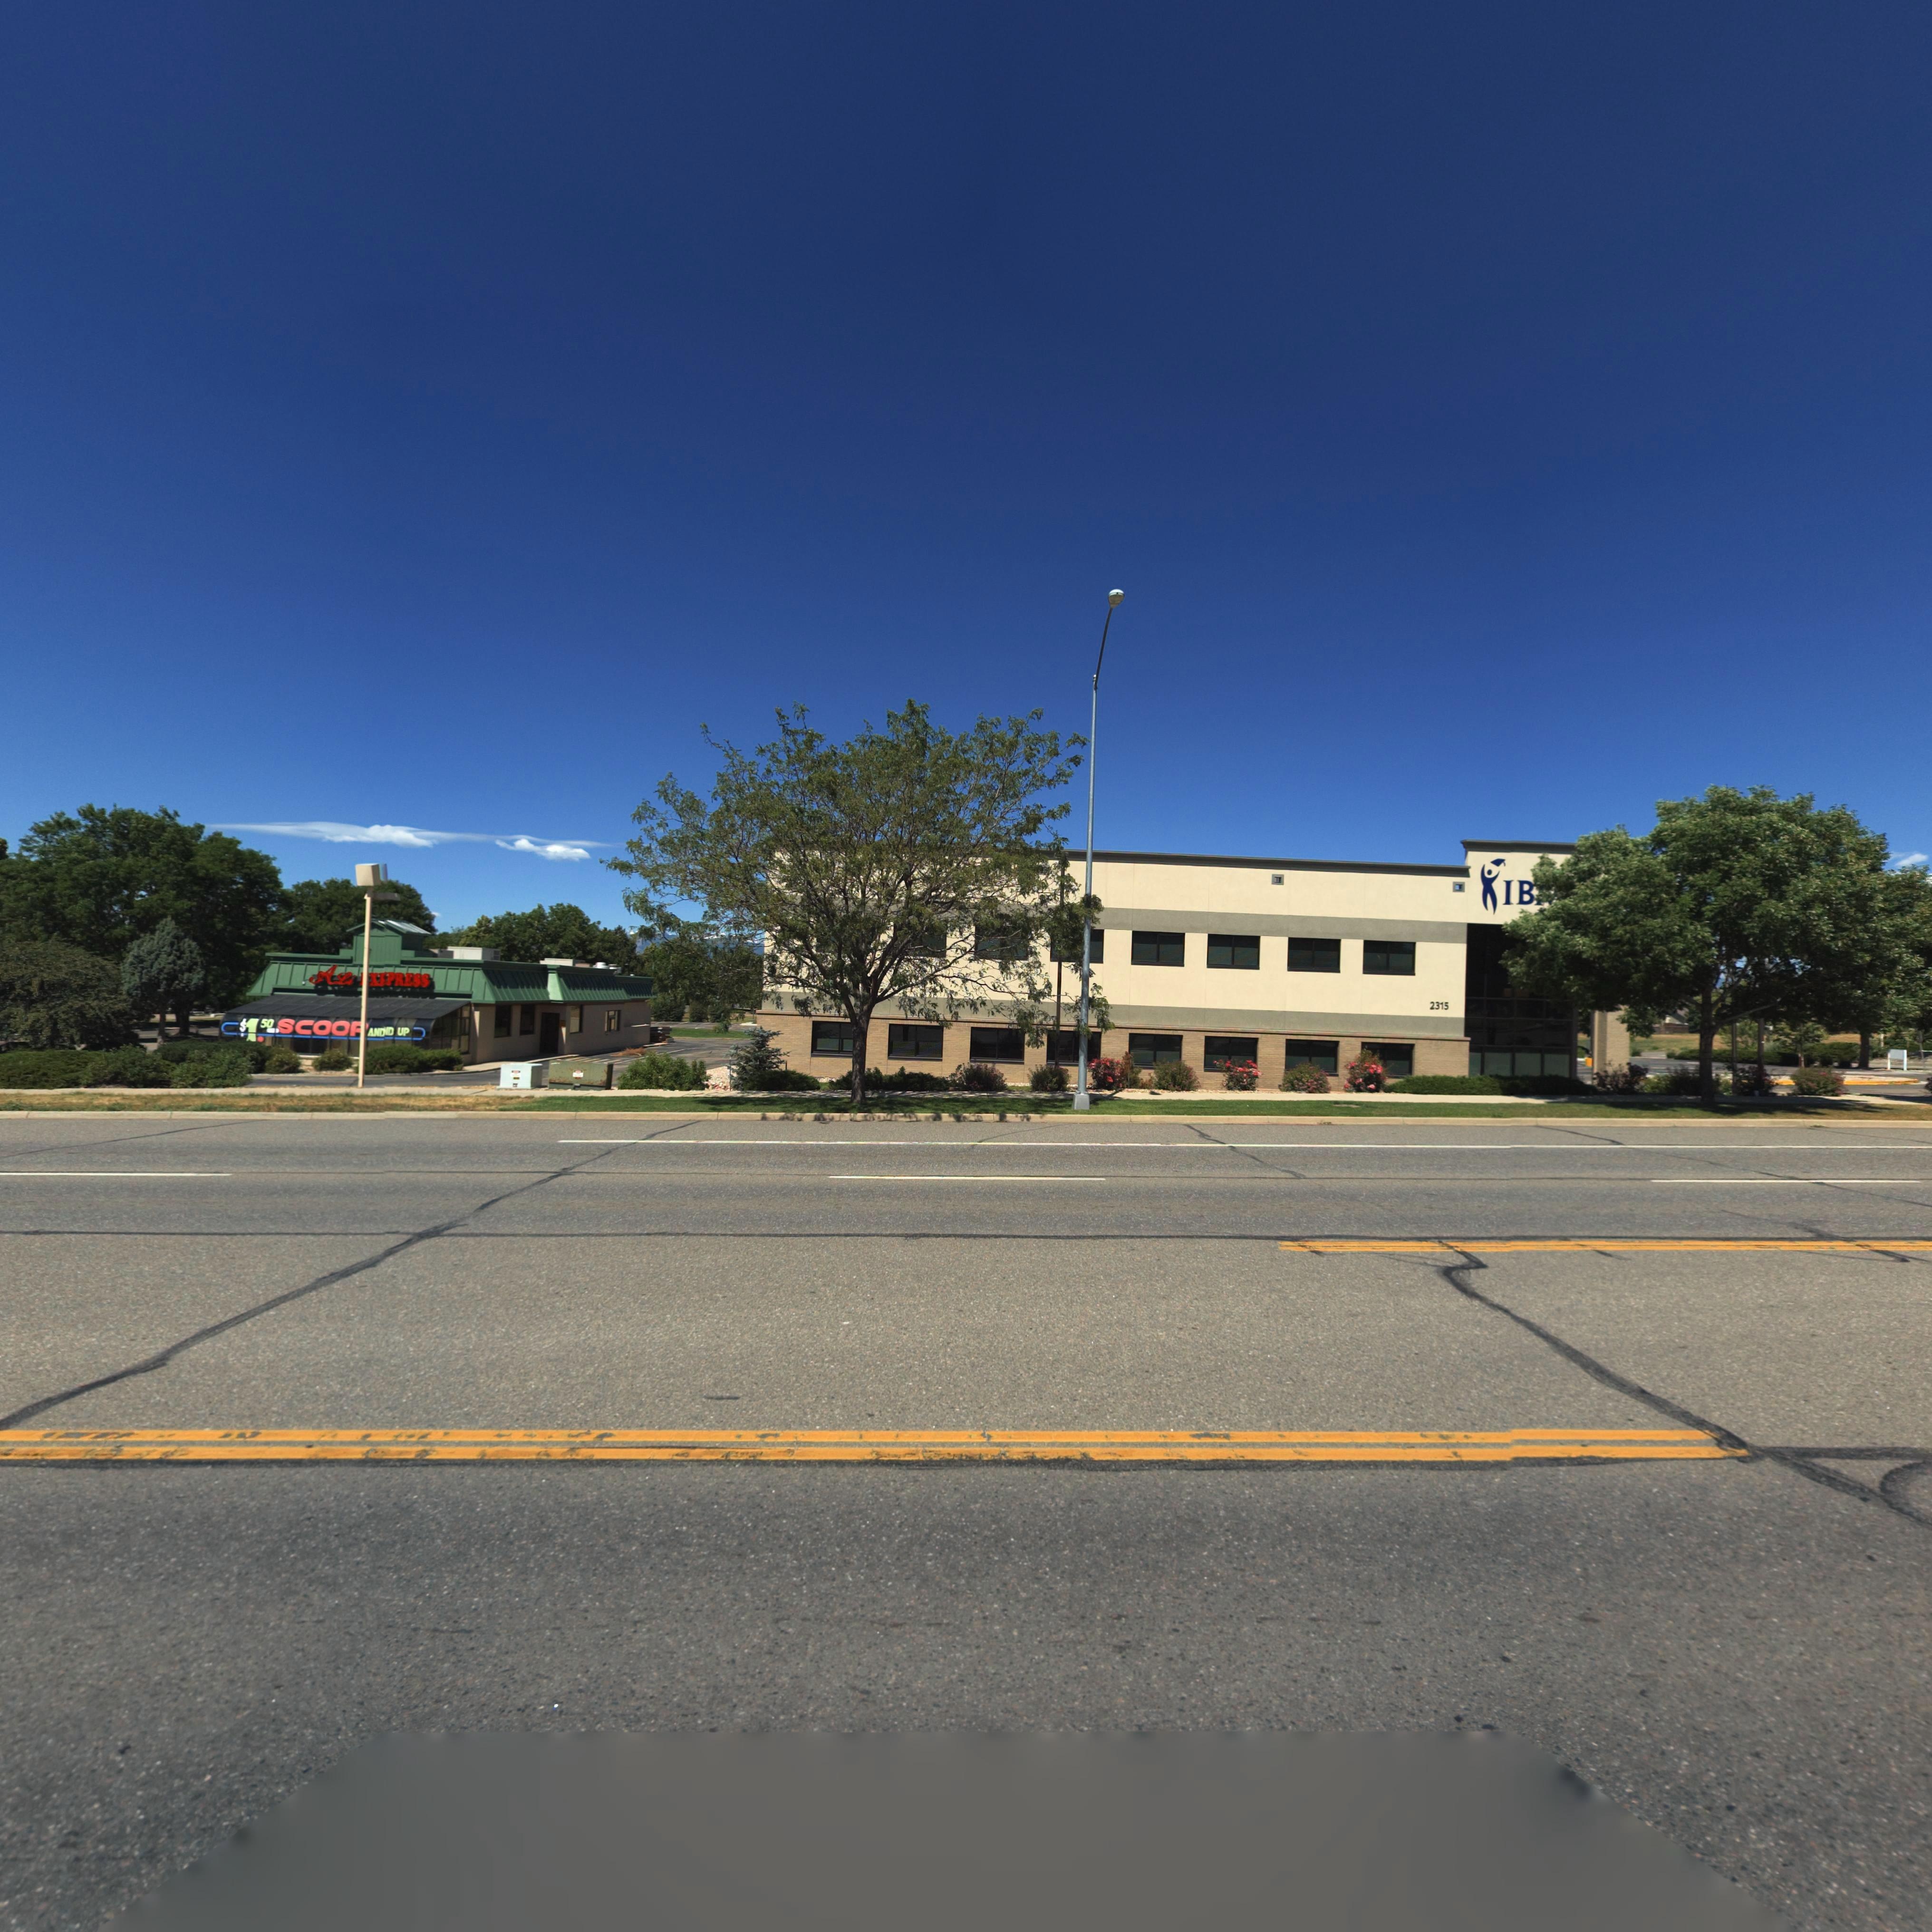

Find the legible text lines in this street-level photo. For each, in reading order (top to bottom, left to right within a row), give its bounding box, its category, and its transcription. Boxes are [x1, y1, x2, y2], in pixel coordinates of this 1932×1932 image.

[1502, 879, 1560, 907] BusinessName: IB*
[308, 964, 357, 985] BusinessName: ALi
[359, 971, 430, 988] BusinessName: *X*PRESS
[1426, 1000, 1449, 1012] StreetNumber: 2315